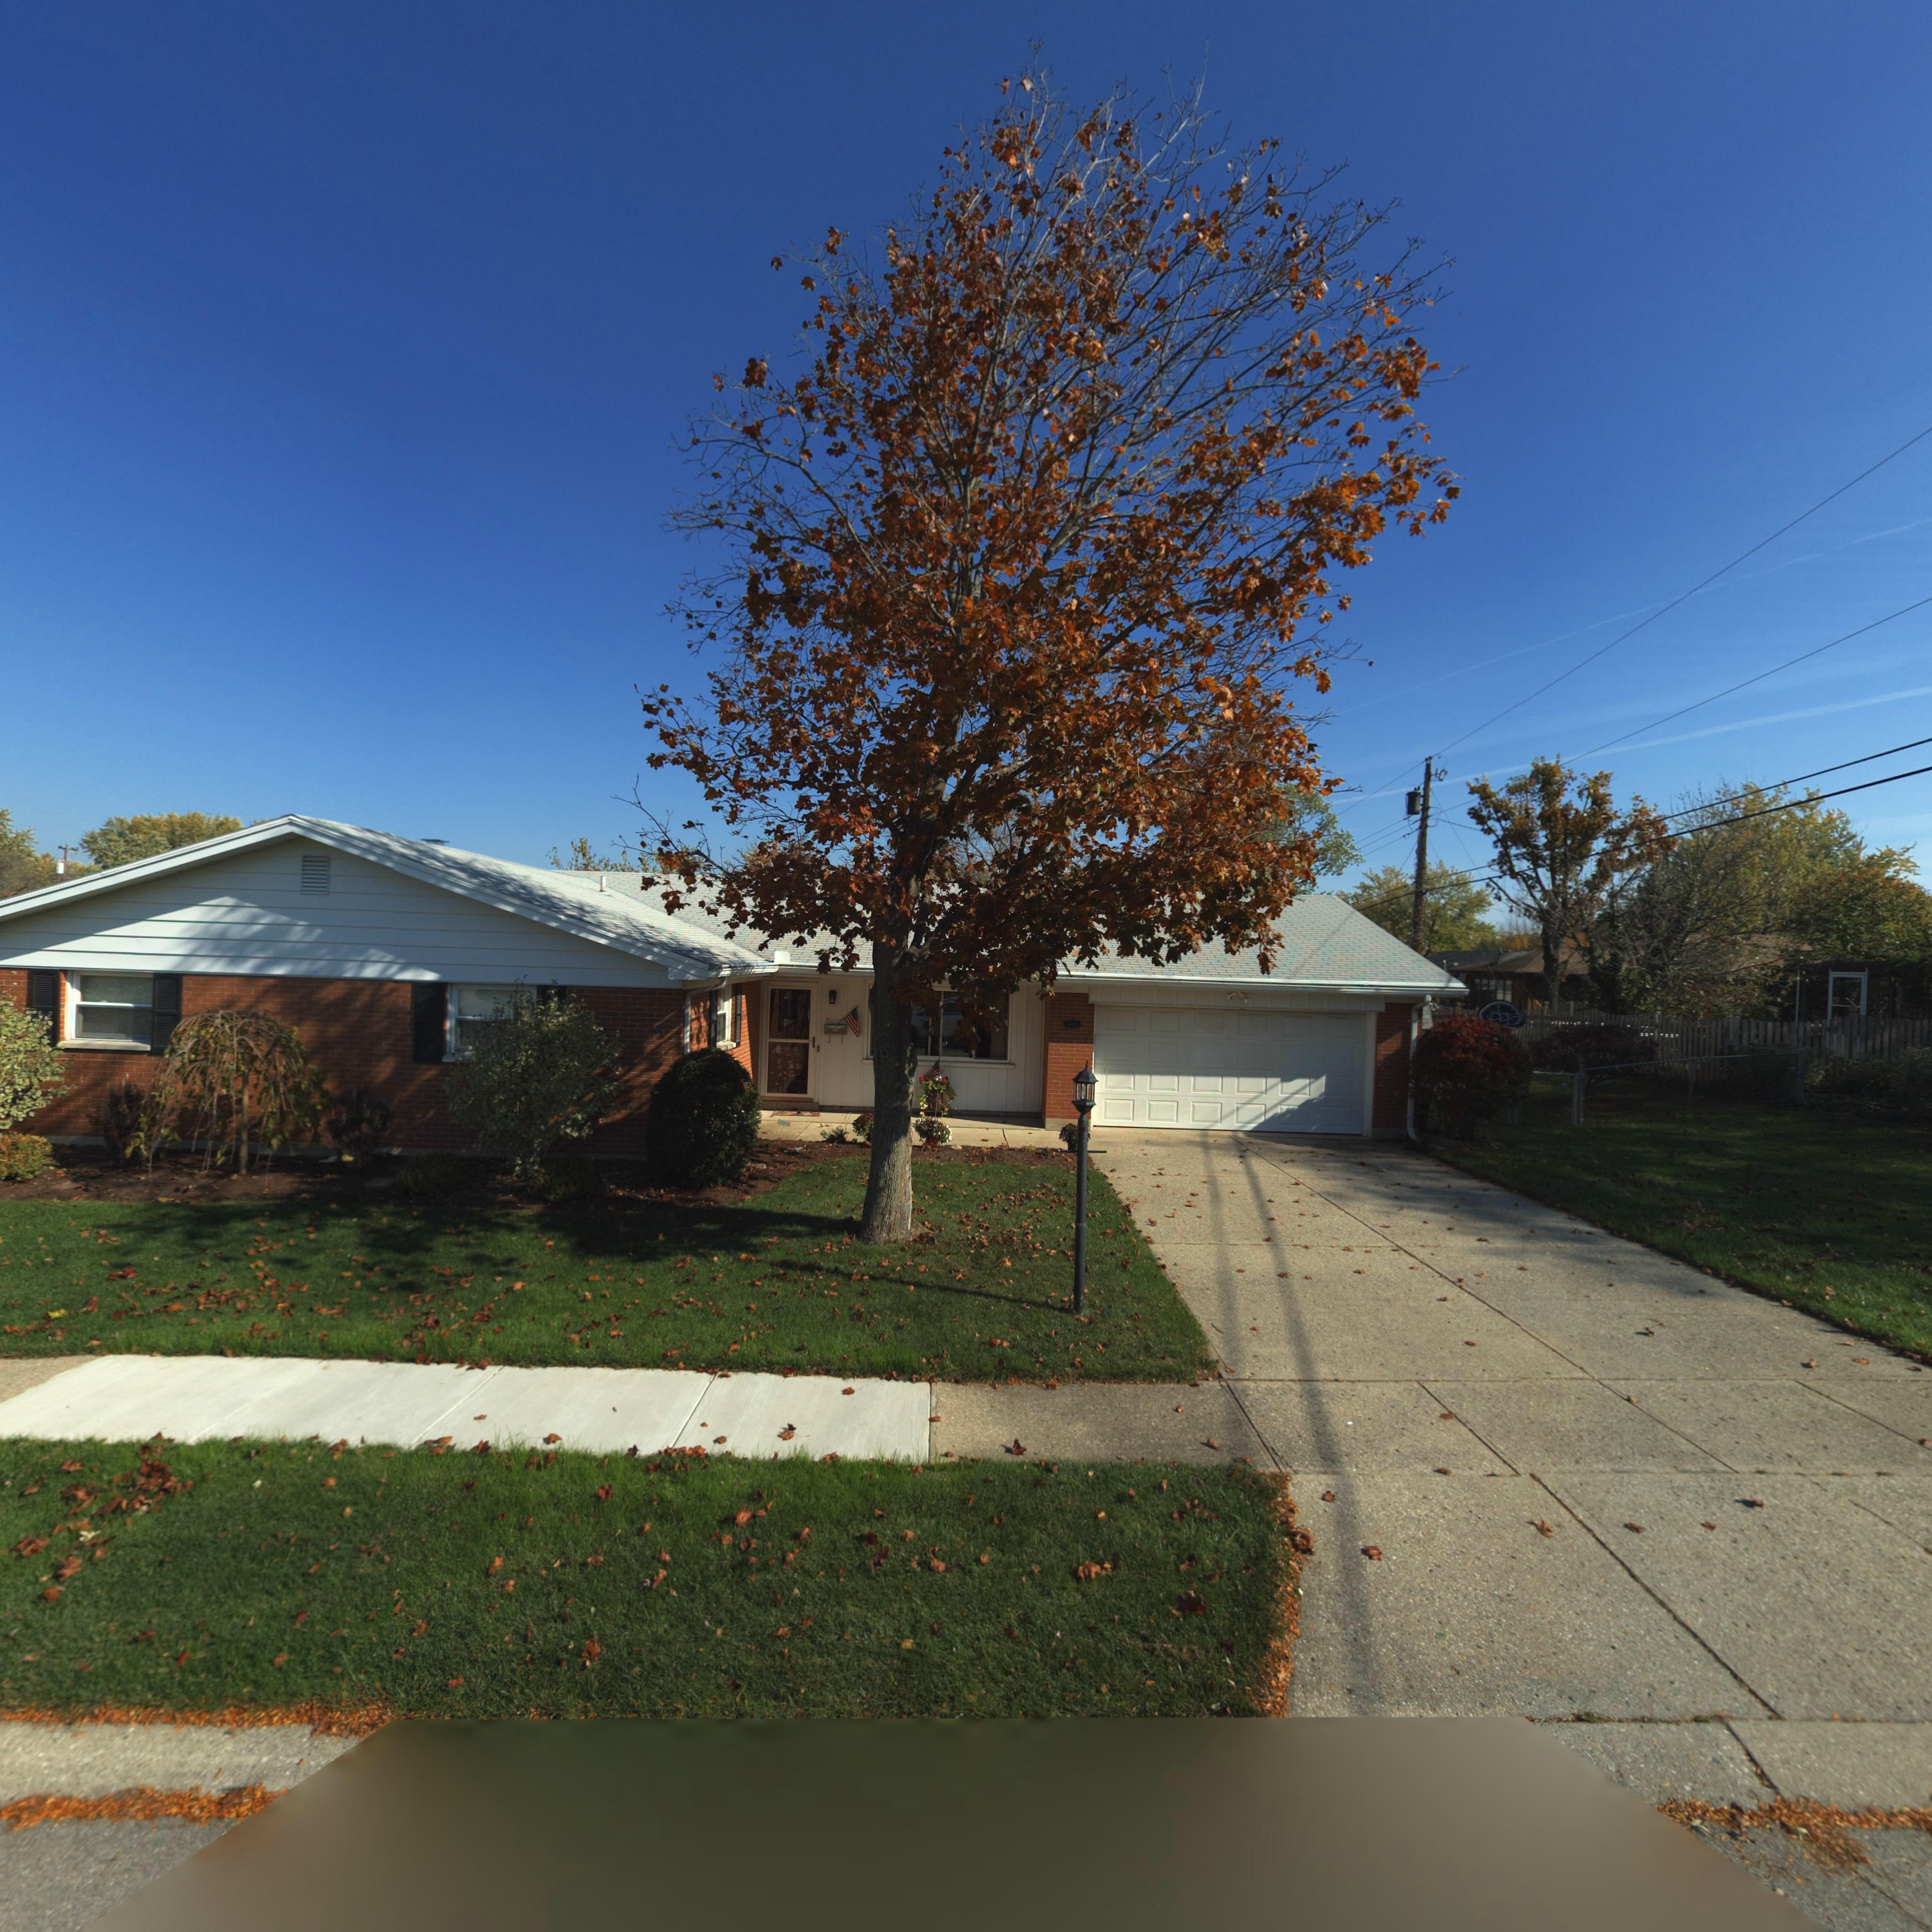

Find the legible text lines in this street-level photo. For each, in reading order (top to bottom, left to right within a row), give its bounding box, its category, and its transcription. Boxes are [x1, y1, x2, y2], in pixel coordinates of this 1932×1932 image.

[1065, 1021, 1080, 1027] StreetNumber: 3700